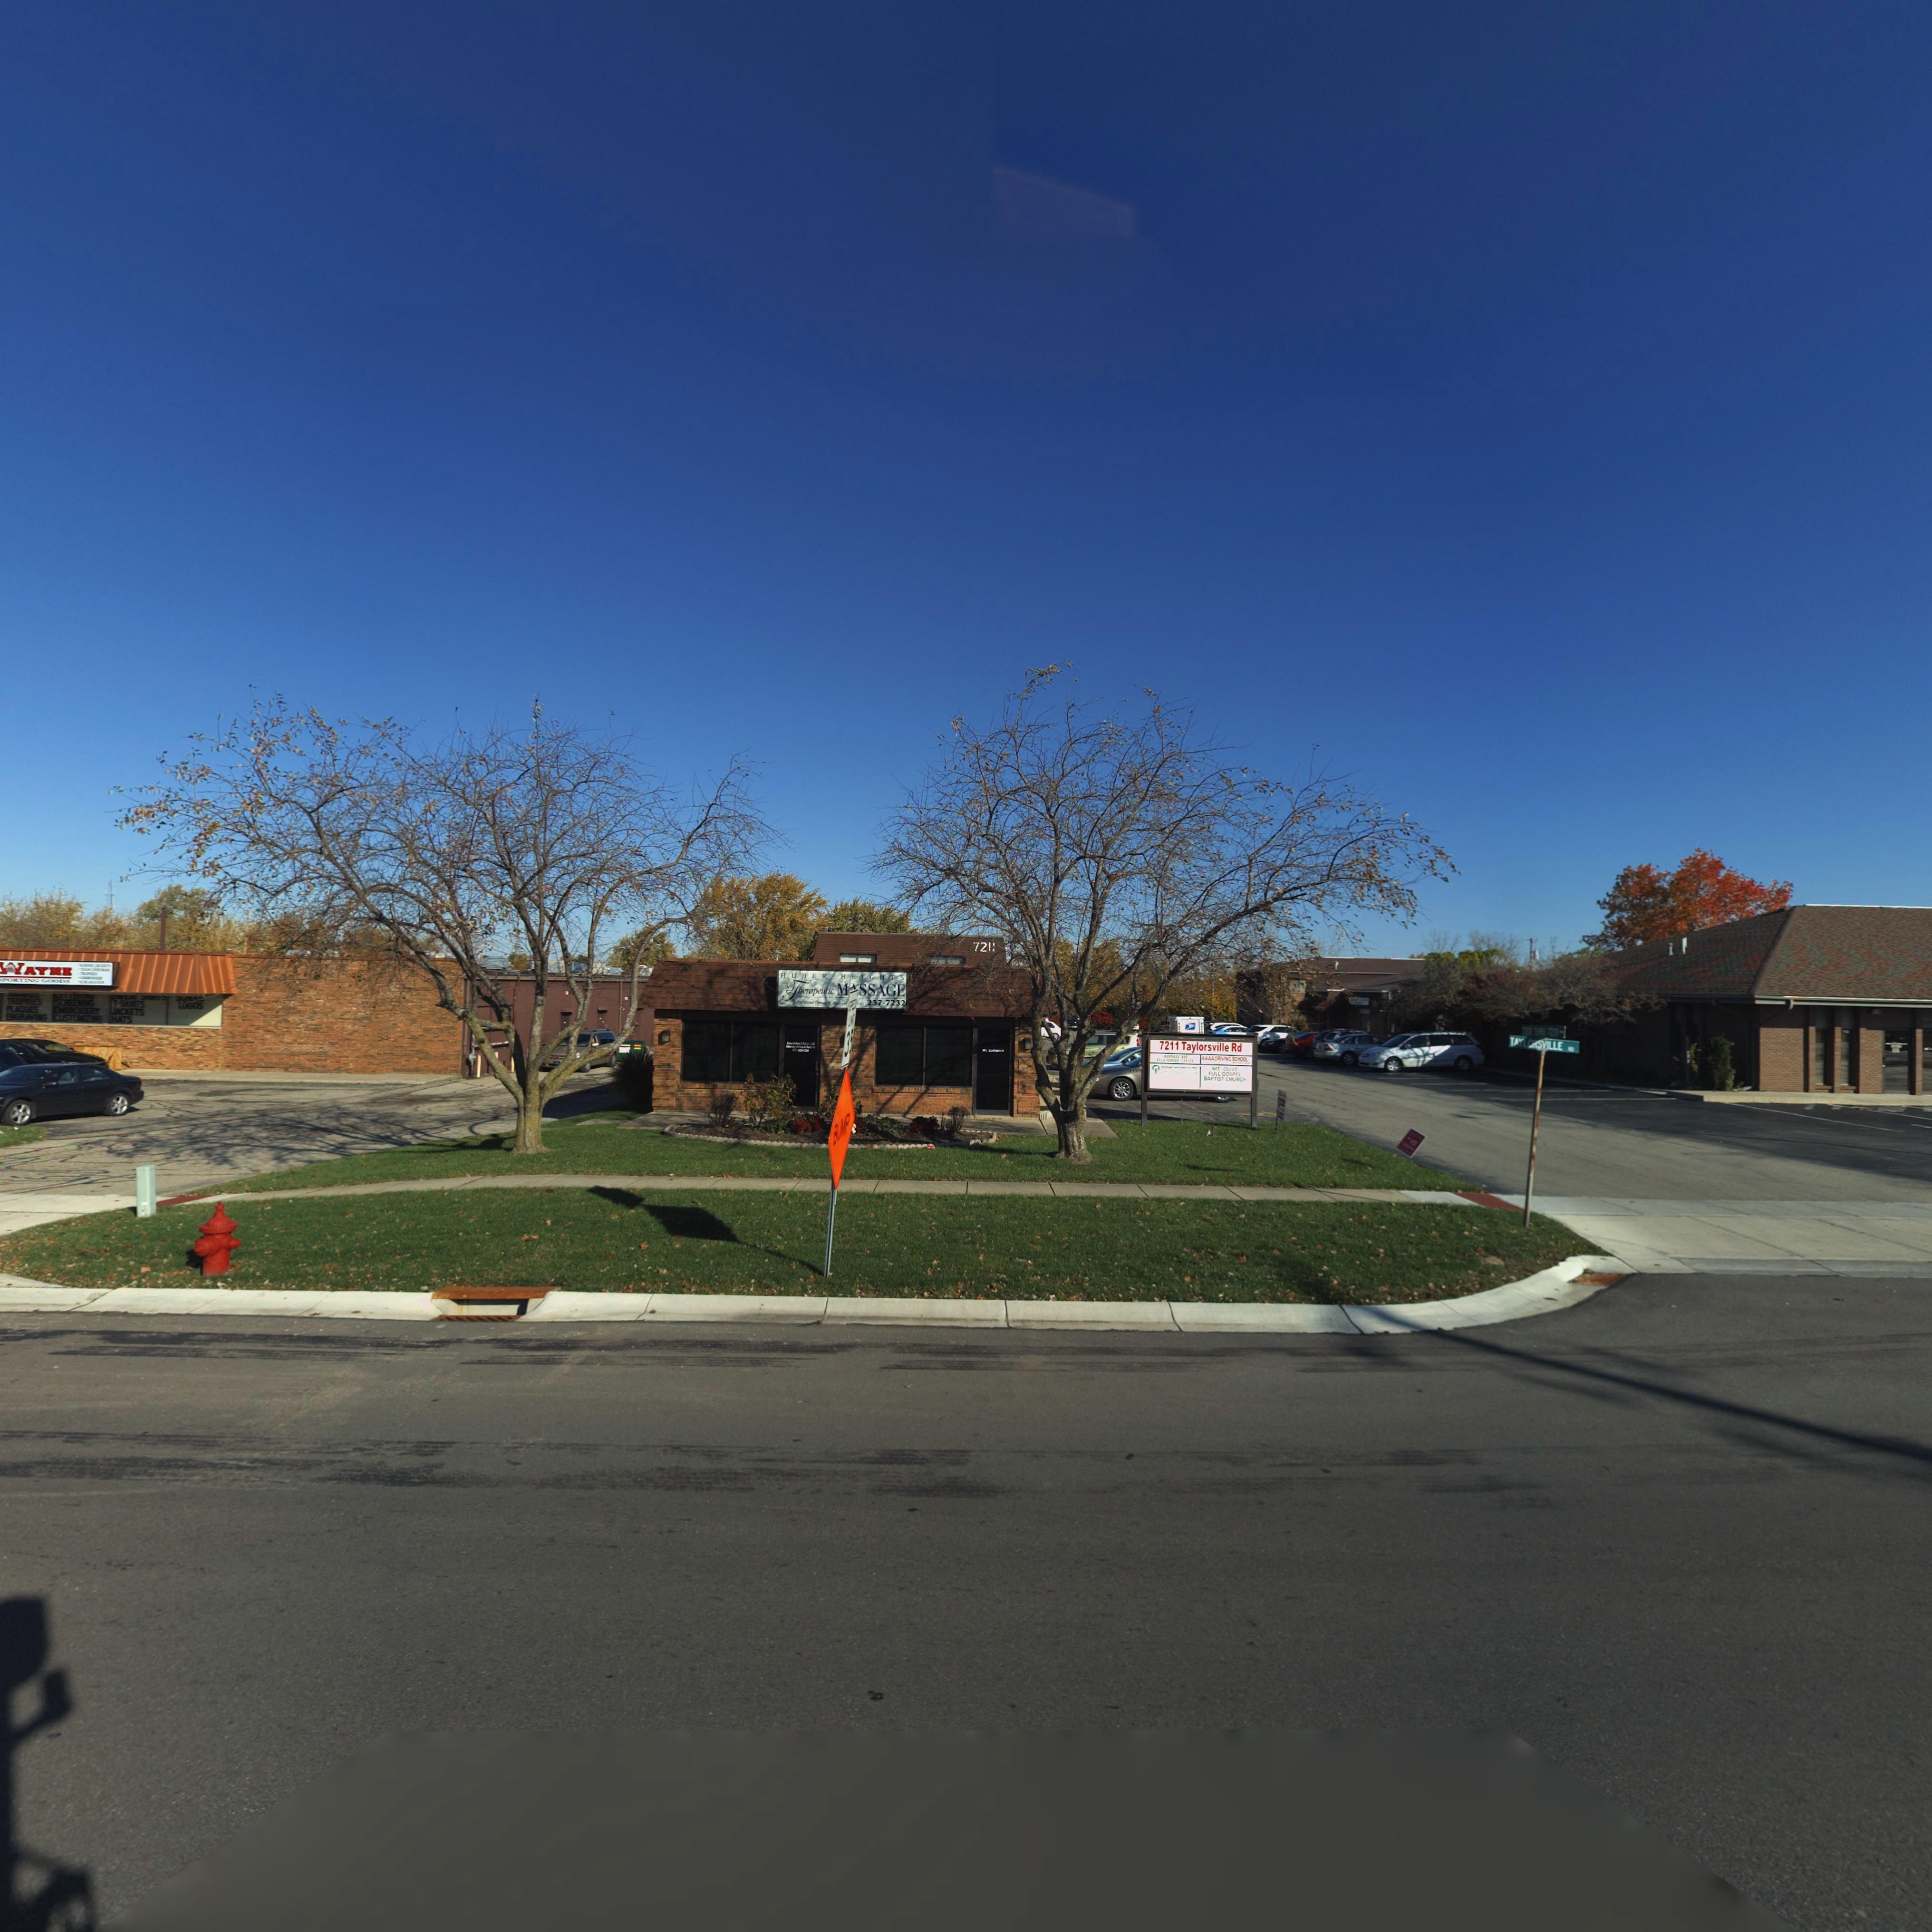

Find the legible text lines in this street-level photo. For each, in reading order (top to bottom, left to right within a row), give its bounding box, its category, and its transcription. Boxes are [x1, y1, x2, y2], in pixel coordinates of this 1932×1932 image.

[972, 941, 996, 953] StreetNumber: 721*
[0, 961, 72, 976] BusinessName: WAYNE
[780, 972, 905, 981] BusinessName: HUBER HEIGHTS
[781, 979, 906, 1002] BusinessName: Therapeutic M*SSAGE
[1159, 1040, 1179, 1051] StreetNumber: 7211
[1181, 1041, 1242, 1053] StreetName: Taylorsville Rd
[1509, 1036, 1564, 1052] StreetName: TAYLORSVILLE
[1207, 1071, 1241, 1077] BusinessName: FULL GOSPEL
[1211, 1066, 1238, 1072] BusinessName: MT OLIVE
[1203, 1076, 1247, 1082] BusinessName: BAPTIST CHURCH